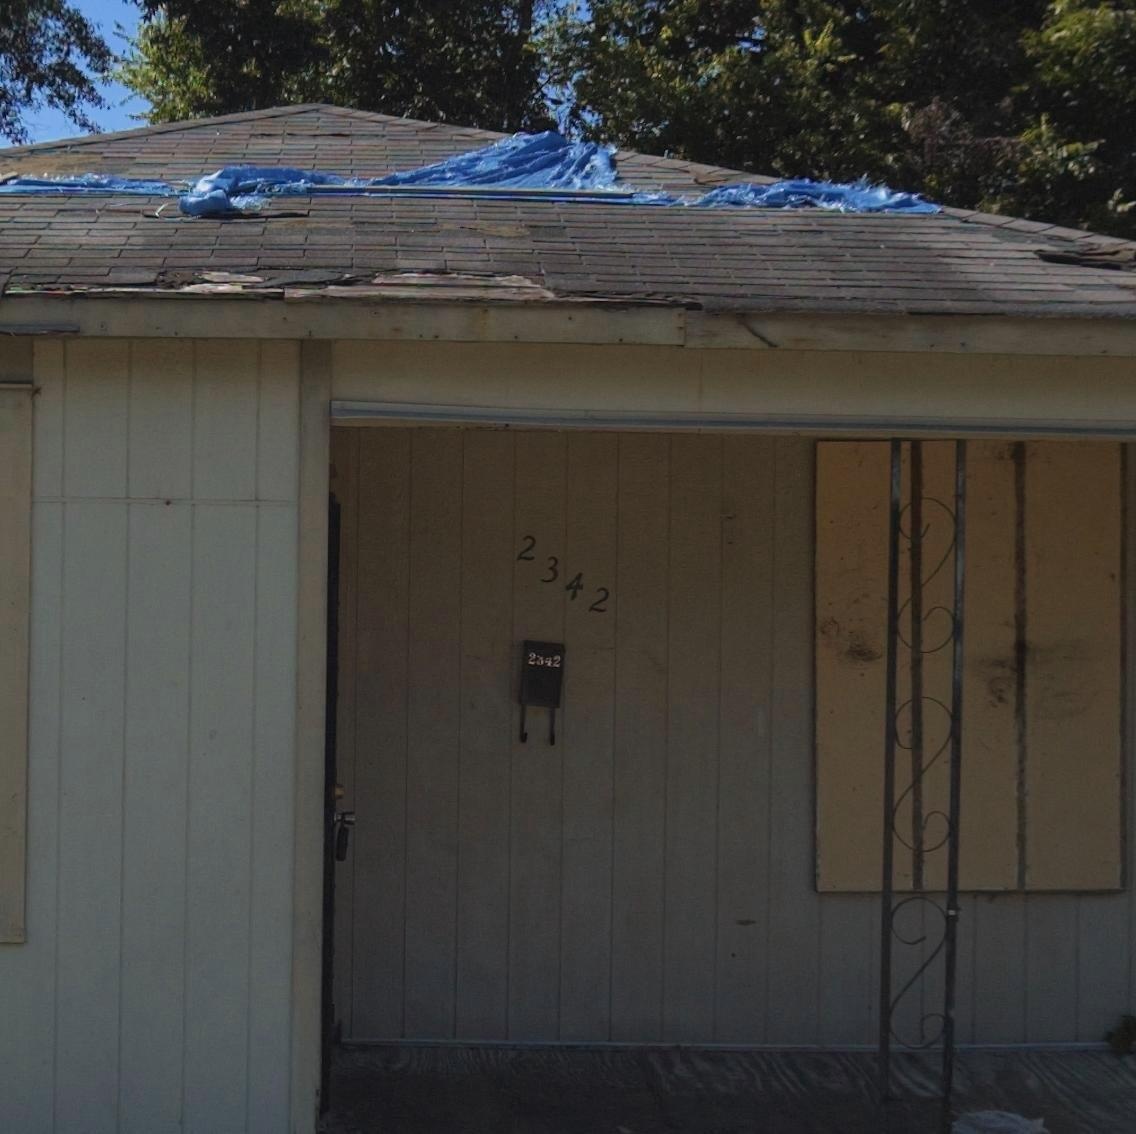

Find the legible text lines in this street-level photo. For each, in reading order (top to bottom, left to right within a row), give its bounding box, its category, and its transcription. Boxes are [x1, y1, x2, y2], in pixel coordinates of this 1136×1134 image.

[513, 532, 613, 616] StreetNumber: 2342
[525, 650, 563, 671] StreetNumber: 2**2